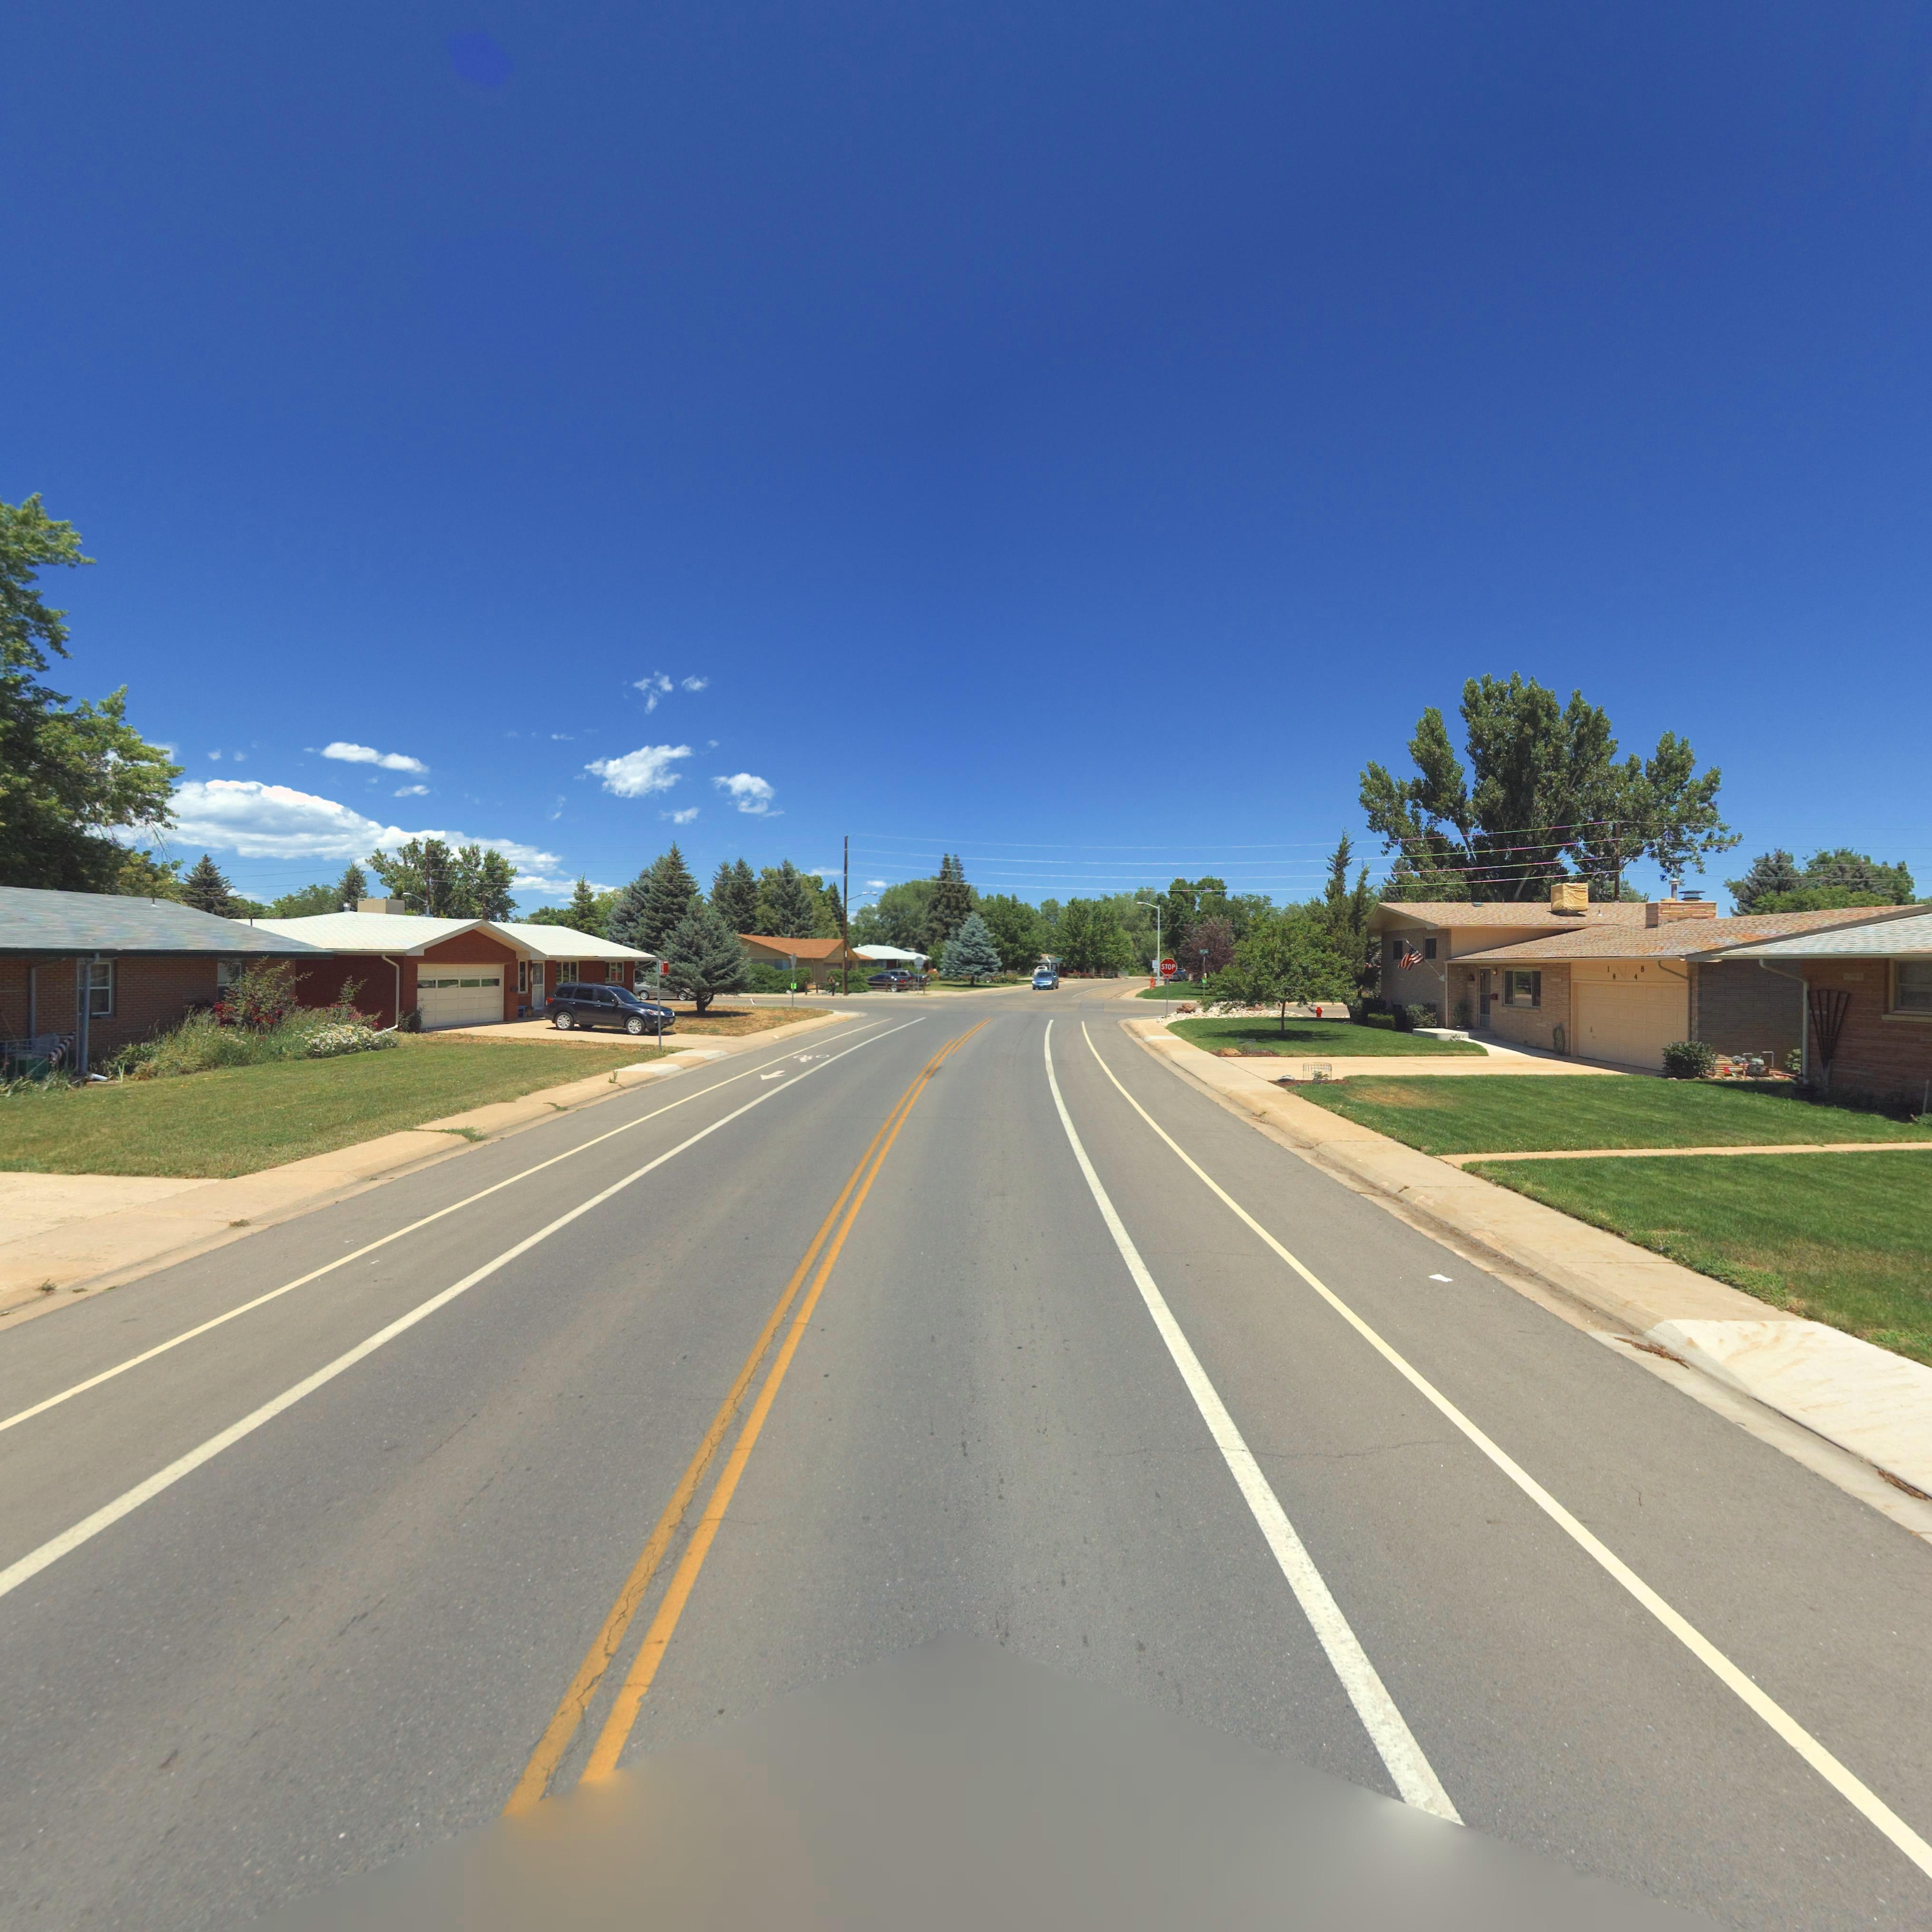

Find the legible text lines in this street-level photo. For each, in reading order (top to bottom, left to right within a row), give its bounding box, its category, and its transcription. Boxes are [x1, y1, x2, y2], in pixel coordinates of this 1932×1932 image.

[1607, 966, 1617, 980] StreetNumber: 18
[1633, 965, 1644, 981] StreetNumber: 48